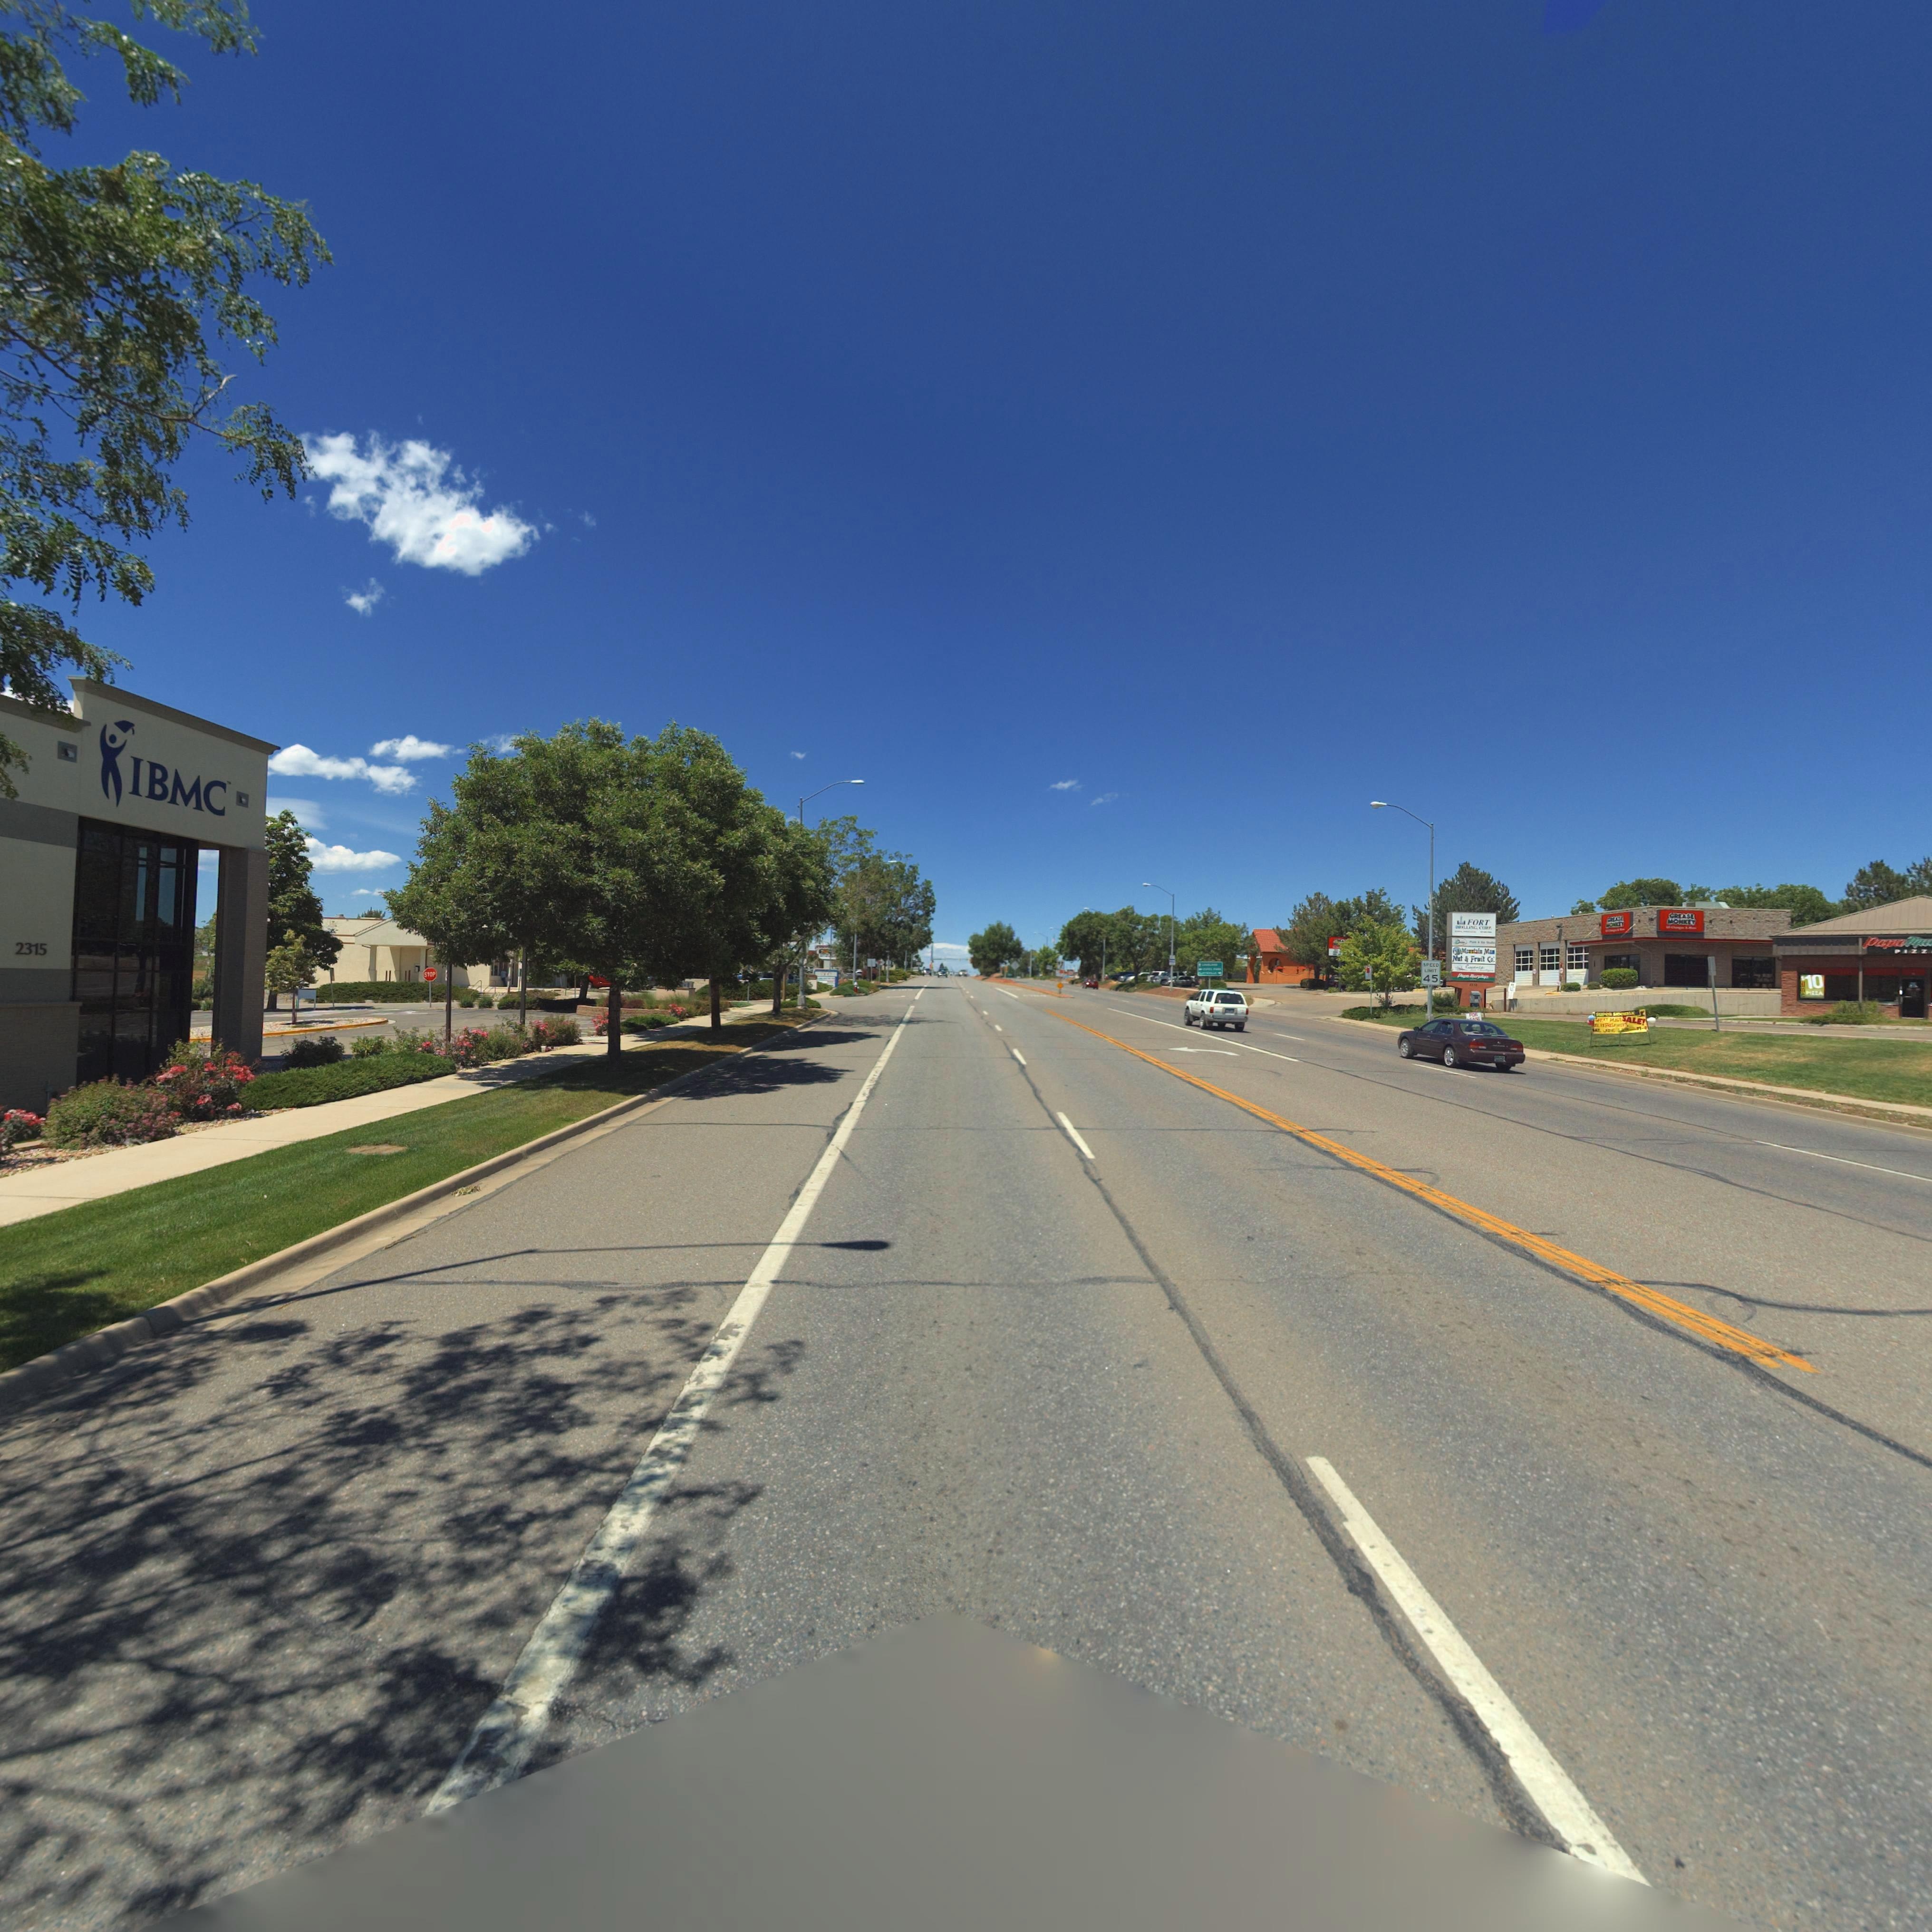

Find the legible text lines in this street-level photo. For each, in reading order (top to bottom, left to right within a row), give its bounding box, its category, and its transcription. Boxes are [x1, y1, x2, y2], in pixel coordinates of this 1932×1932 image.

[127, 755, 227, 817] BusinessName: IBMC
[1467, 918, 1490, 926] BusinessName: FORT
[1607, 915, 1623, 922] BusinessName: GRE***
[1605, 921, 1624, 927] BusinessName: *O*K*Y
[1669, 913, 1694, 919] BusinessName: GREASE
[1667, 918, 1696, 924] BusinessName: MONKEY
[1861, 935, 1930, 949] BusinessName: P*p****
[14, 942, 47, 956] StreetNumber: 2315
[1461, 947, 1495, 955] BusinessName: M****** M**
[1894, 949, 1928, 954] BusinessName: pizz
[1451, 955, 1493, 963] BusinessName: Nut * Fruit Co
[1457, 973, 1488, 979] BusinessName: P*p* R******
[1469, 983, 1477, 986] StreetNumber: 4***